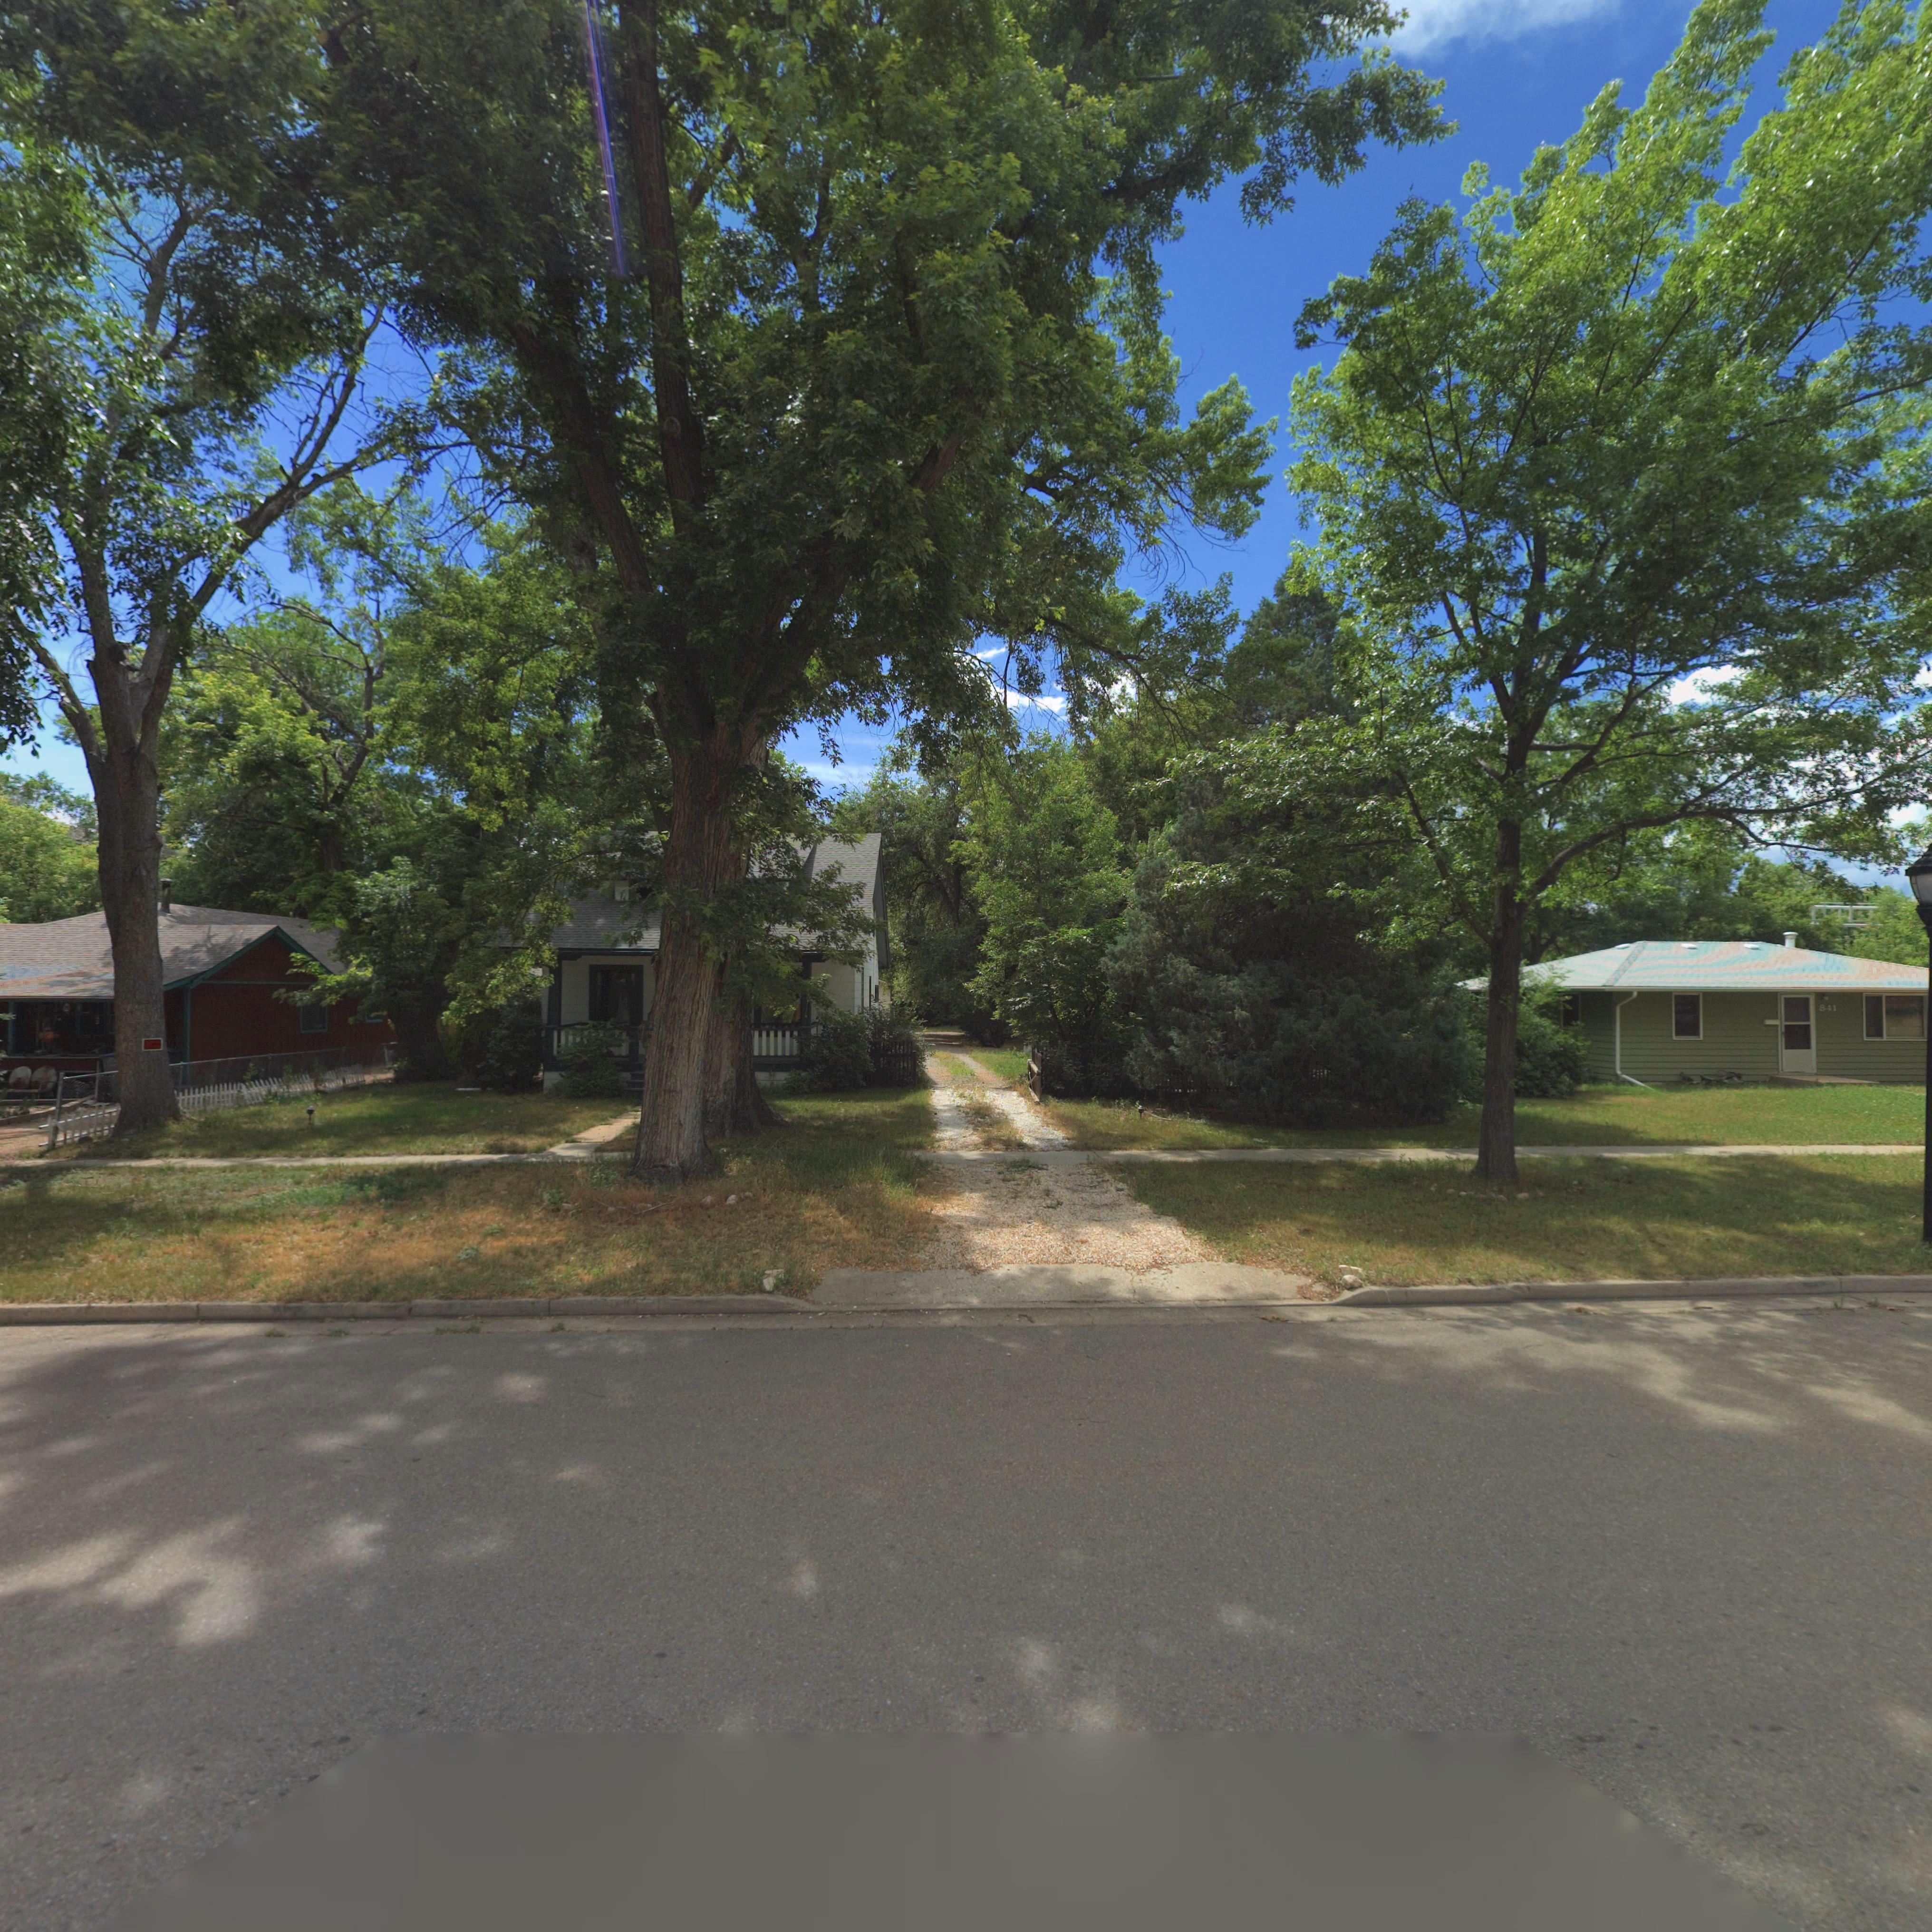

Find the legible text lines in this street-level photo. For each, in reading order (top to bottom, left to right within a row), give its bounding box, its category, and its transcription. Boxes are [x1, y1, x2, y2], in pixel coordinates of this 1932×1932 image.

[1818, 1004, 1836, 1012] StreetNumber: 841